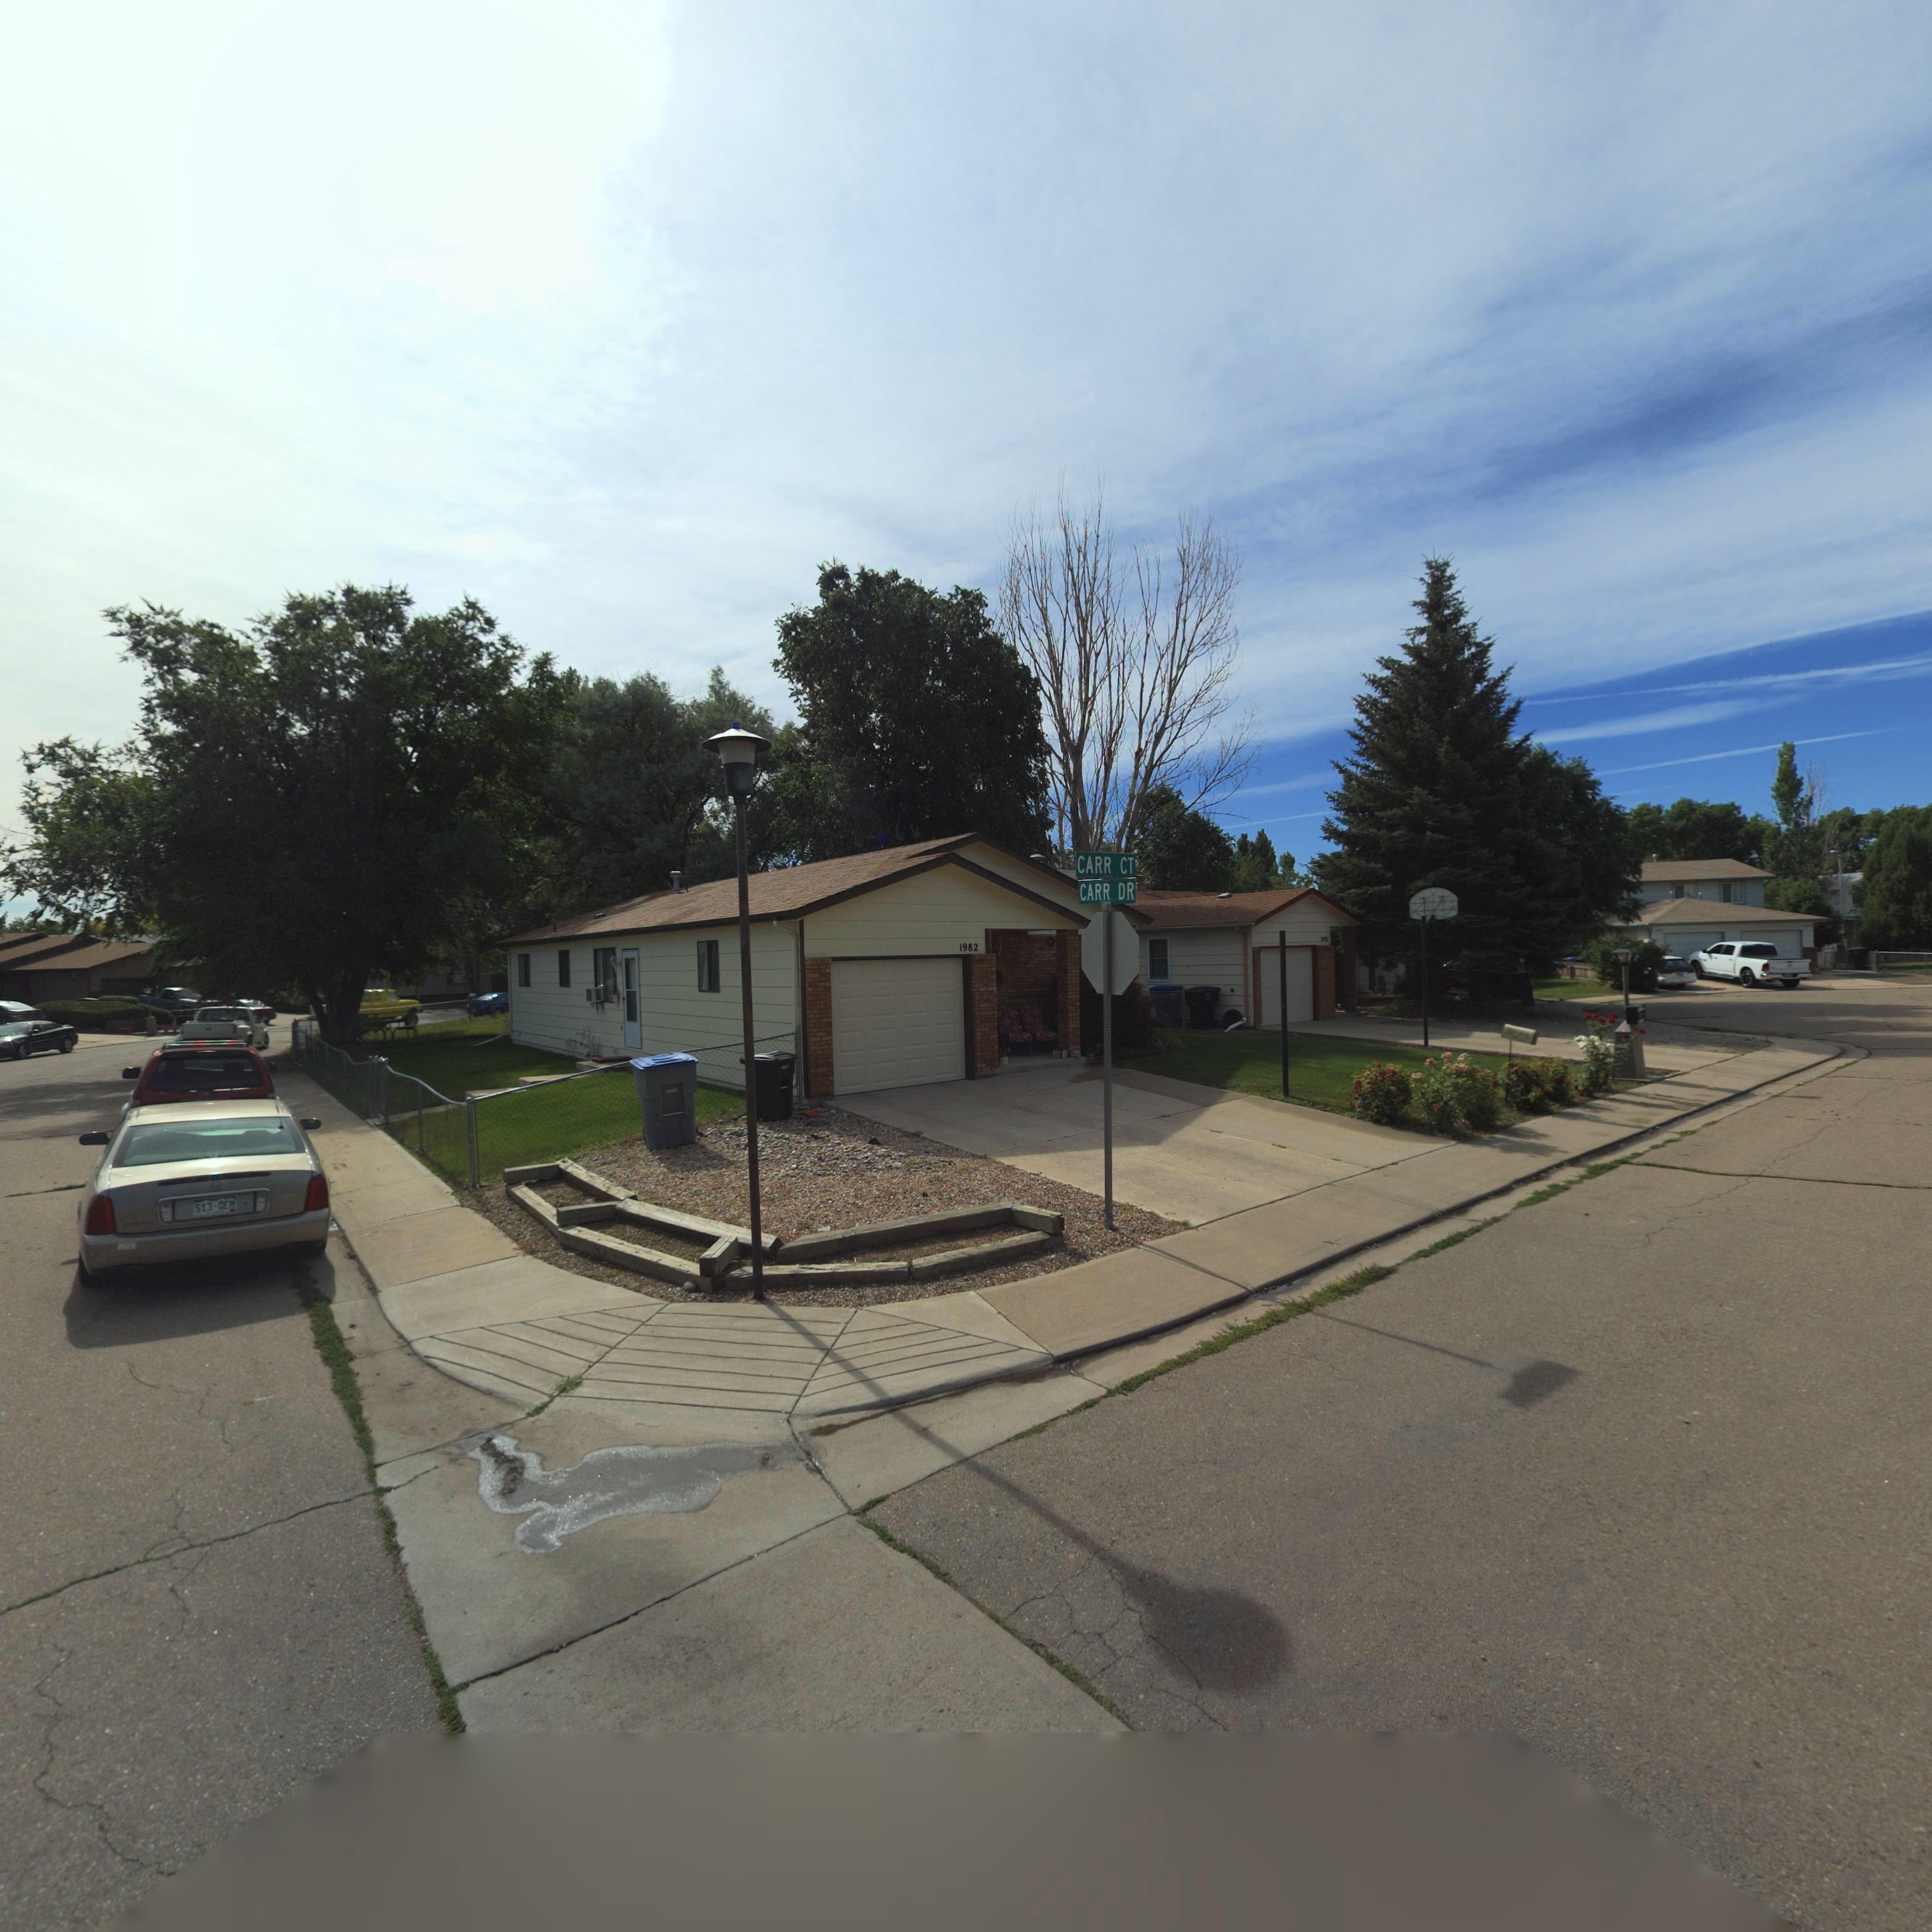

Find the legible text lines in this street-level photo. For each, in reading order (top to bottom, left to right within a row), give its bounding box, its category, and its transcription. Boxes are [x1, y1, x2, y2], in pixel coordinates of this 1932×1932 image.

[1077, 855, 1134, 874] StreetName: CARR CT
[1079, 881, 1134, 901] StreetNumber: CARR DR
[959, 943, 978, 952] StreetNumber: 1982
[1320, 936, 1329, 942] StreetNumber: 197*